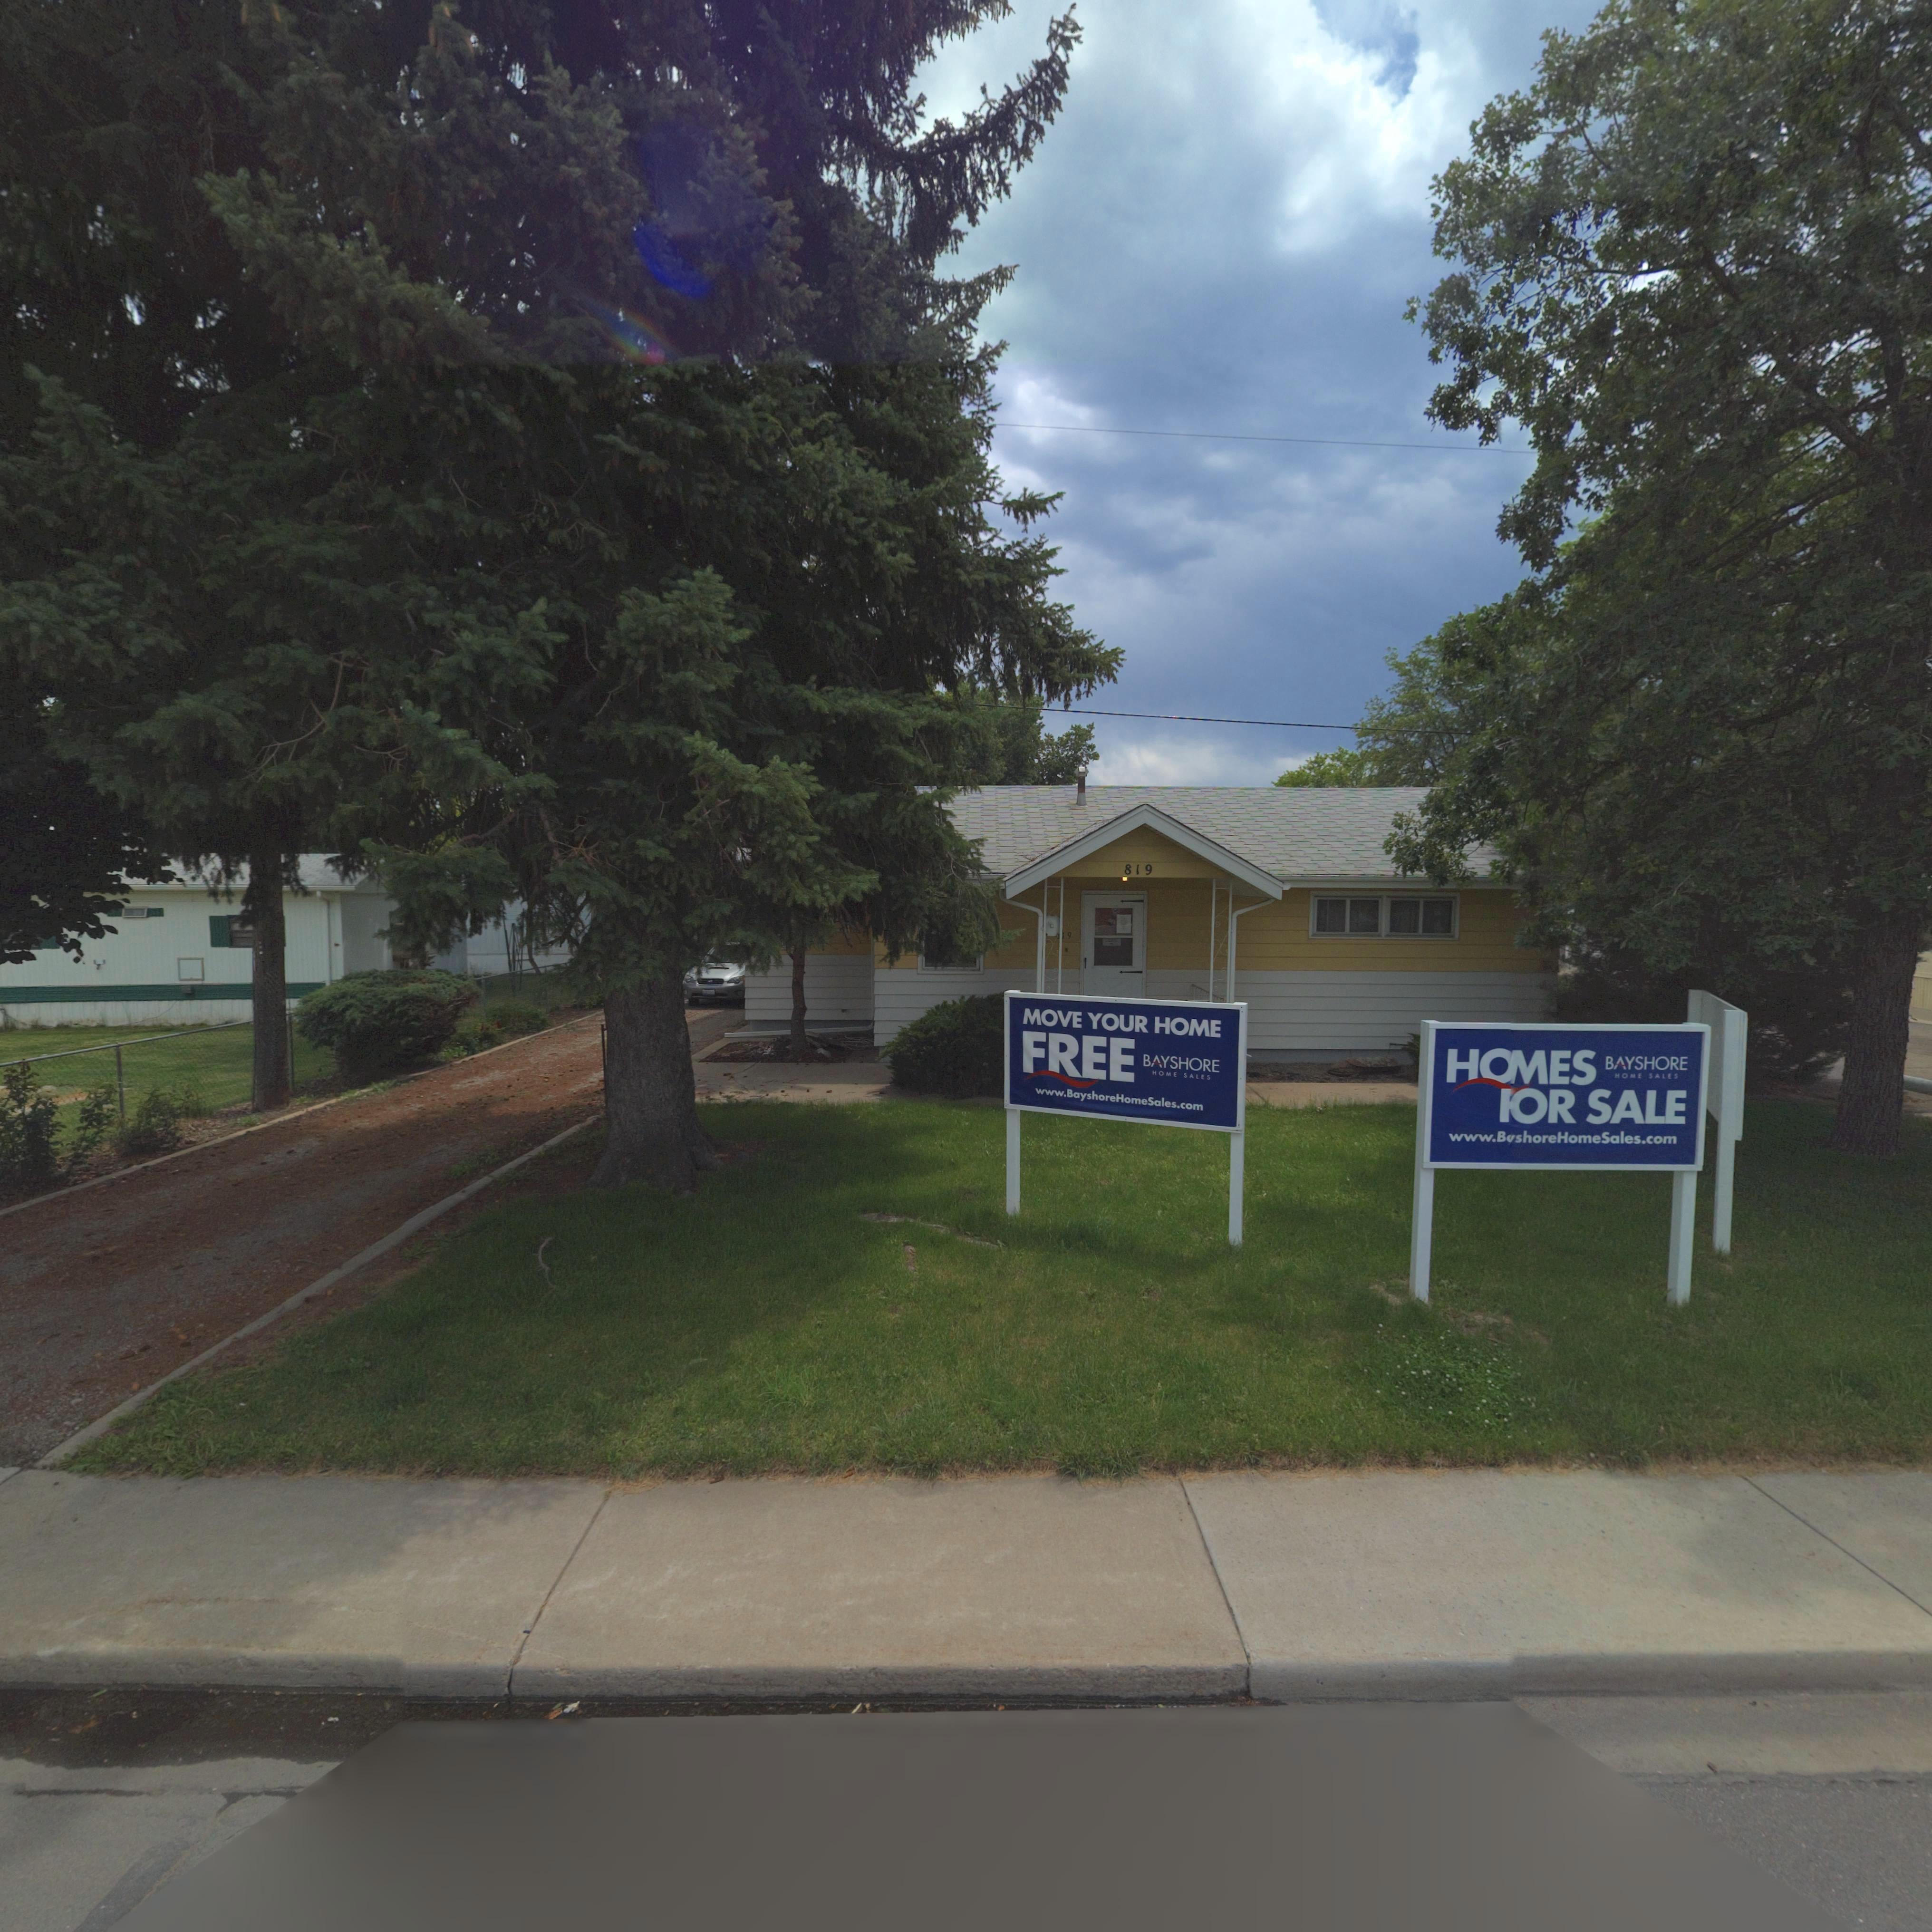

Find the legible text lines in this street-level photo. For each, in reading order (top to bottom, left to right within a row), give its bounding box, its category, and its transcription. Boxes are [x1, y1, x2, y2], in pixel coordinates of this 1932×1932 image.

[1123, 863, 1153, 876] StreetNumber: 819
[1061, 931, 1072, 940] StreetNumber: 19